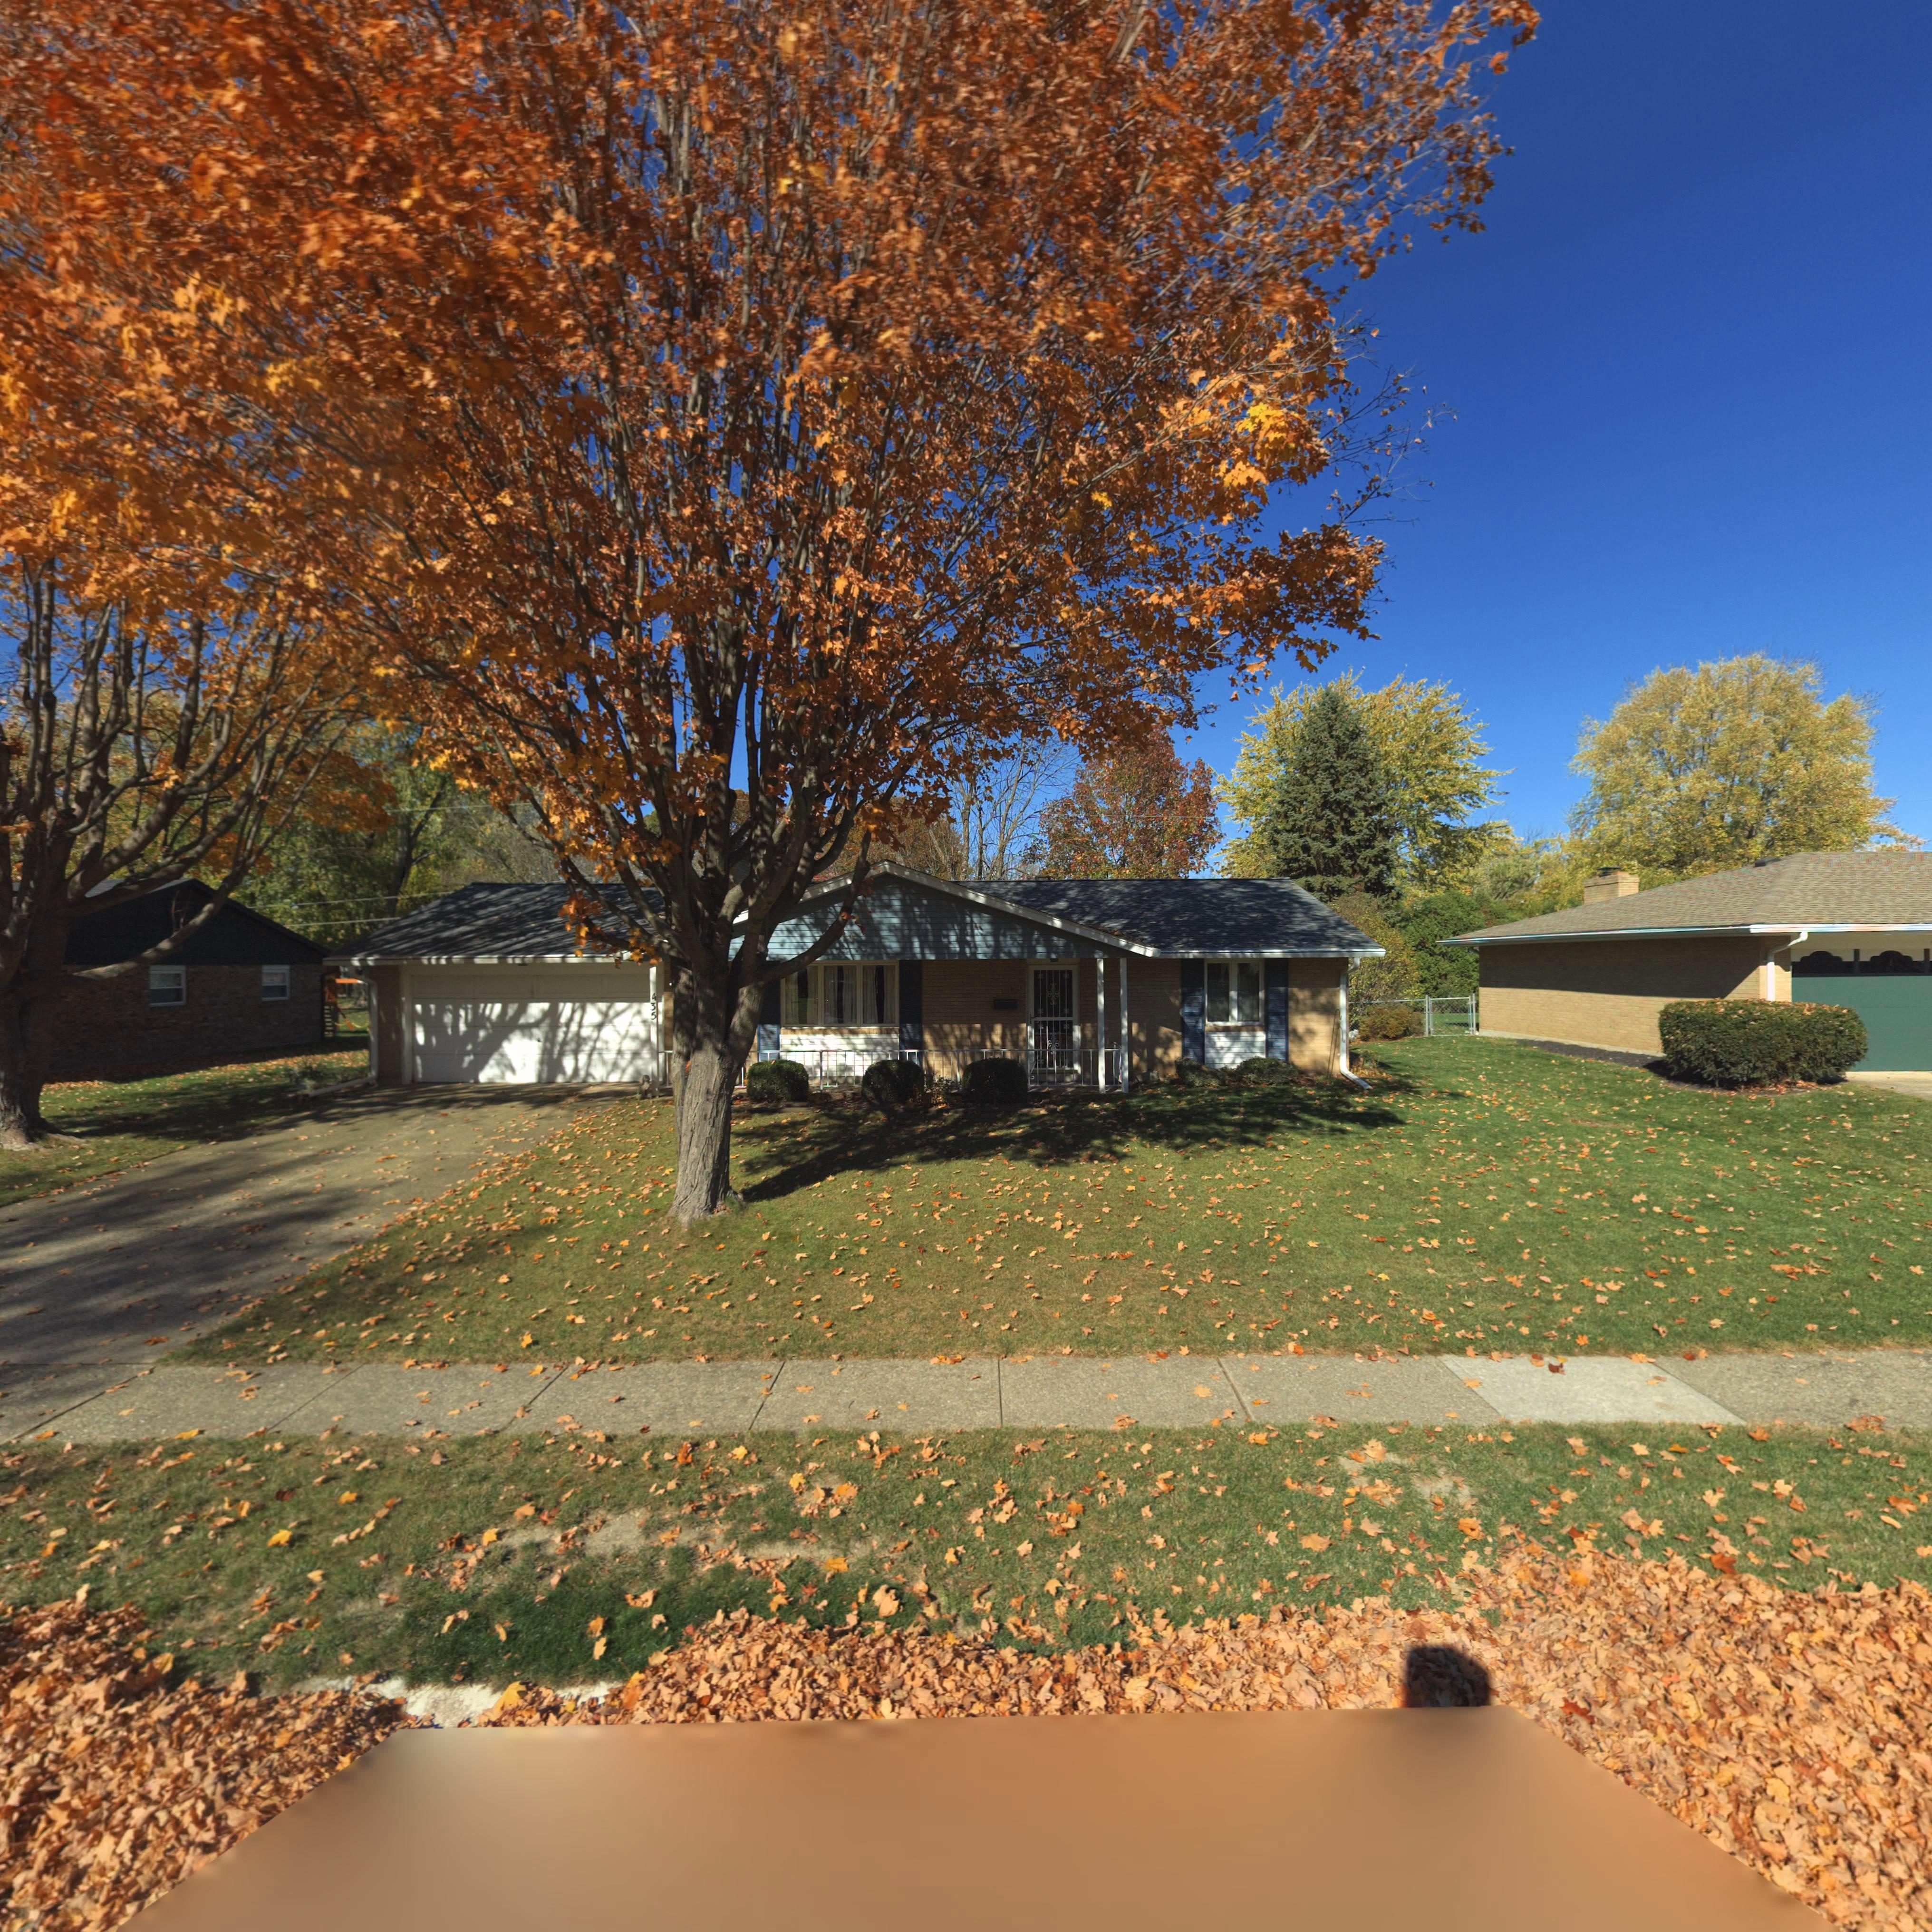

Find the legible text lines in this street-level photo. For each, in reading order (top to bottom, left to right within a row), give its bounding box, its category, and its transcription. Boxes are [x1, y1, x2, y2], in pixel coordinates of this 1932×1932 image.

[649, 991, 658, 1022] StreetNumber: 435